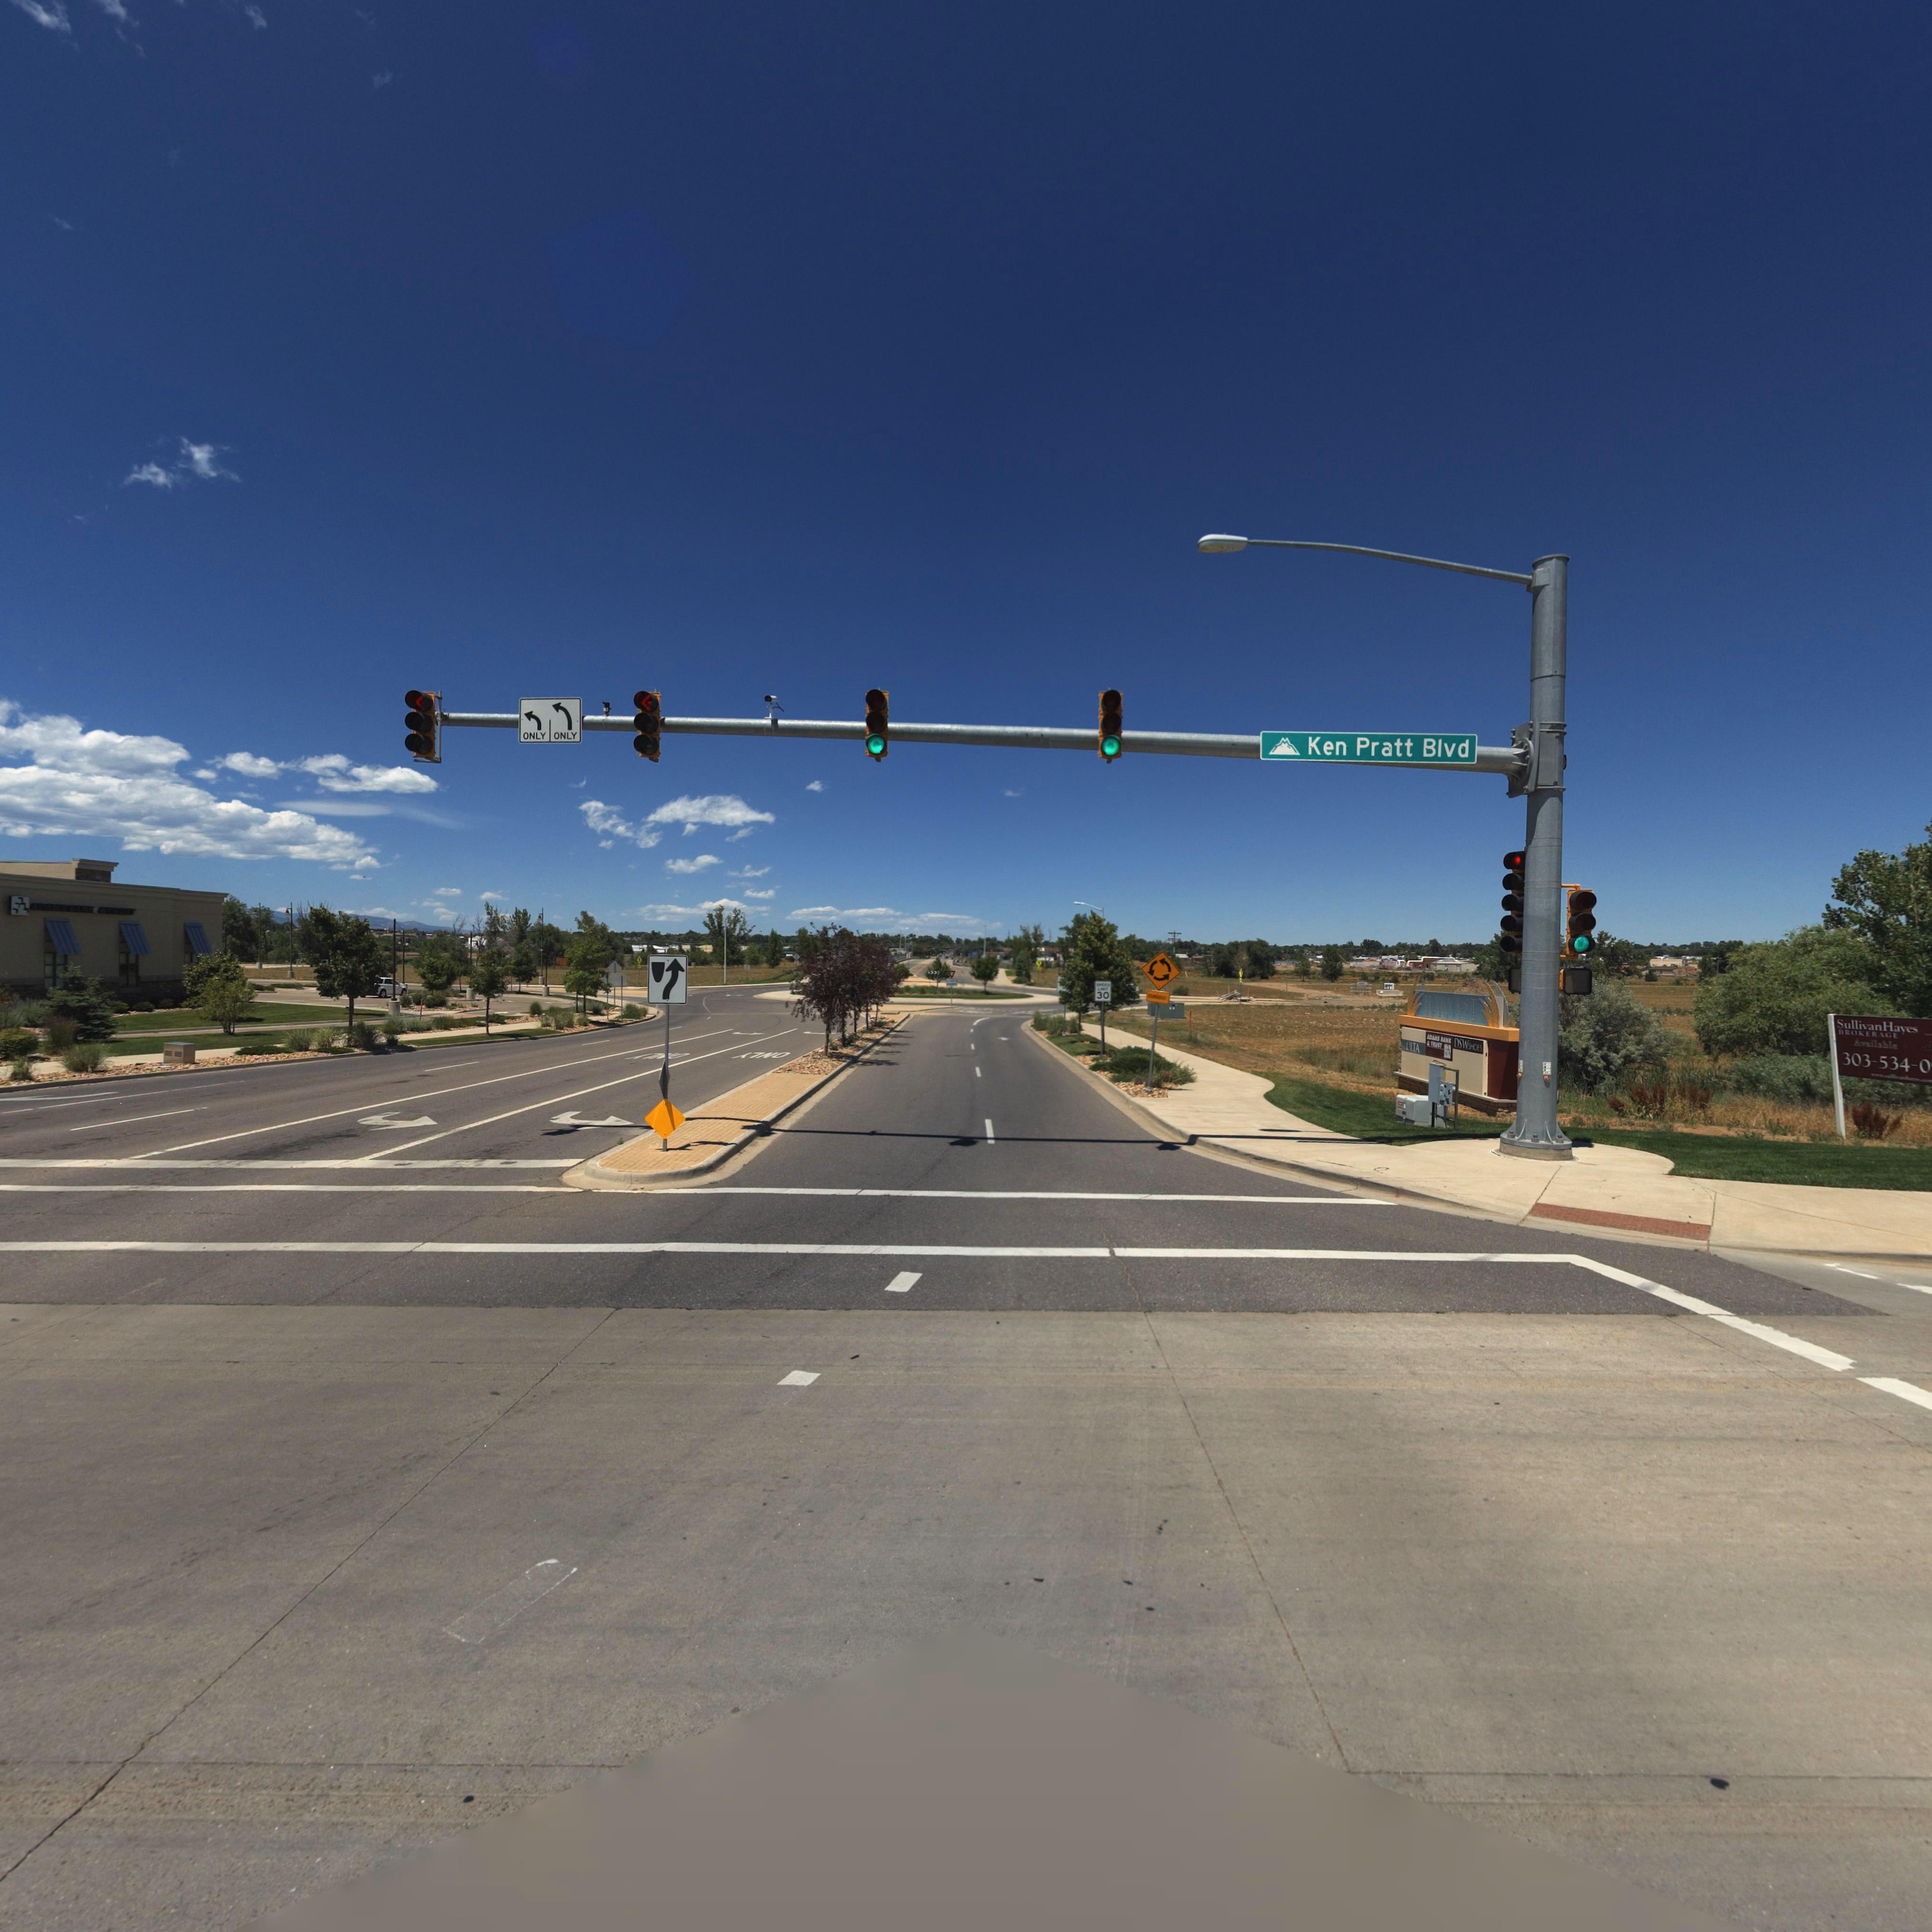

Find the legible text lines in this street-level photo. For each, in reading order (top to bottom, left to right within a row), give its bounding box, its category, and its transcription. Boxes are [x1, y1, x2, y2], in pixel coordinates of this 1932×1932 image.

[1308, 735, 1469, 758] StreetName: Ken Pratt Blvd
[29, 902, 137, 916] BusinessName: ADAMS BANK & TRUST
[1406, 1040, 1420, 1053] BusinessName: ULTA
[1426, 1040, 1442, 1048] BusinessName: & TRUST
[1426, 1034, 1451, 1043] BusinessName: ADAMS BANK
[1454, 1037, 1469, 1050] BusinessName: DSW
[1468, 1043, 1482, 1052] BusinessName: SHOES